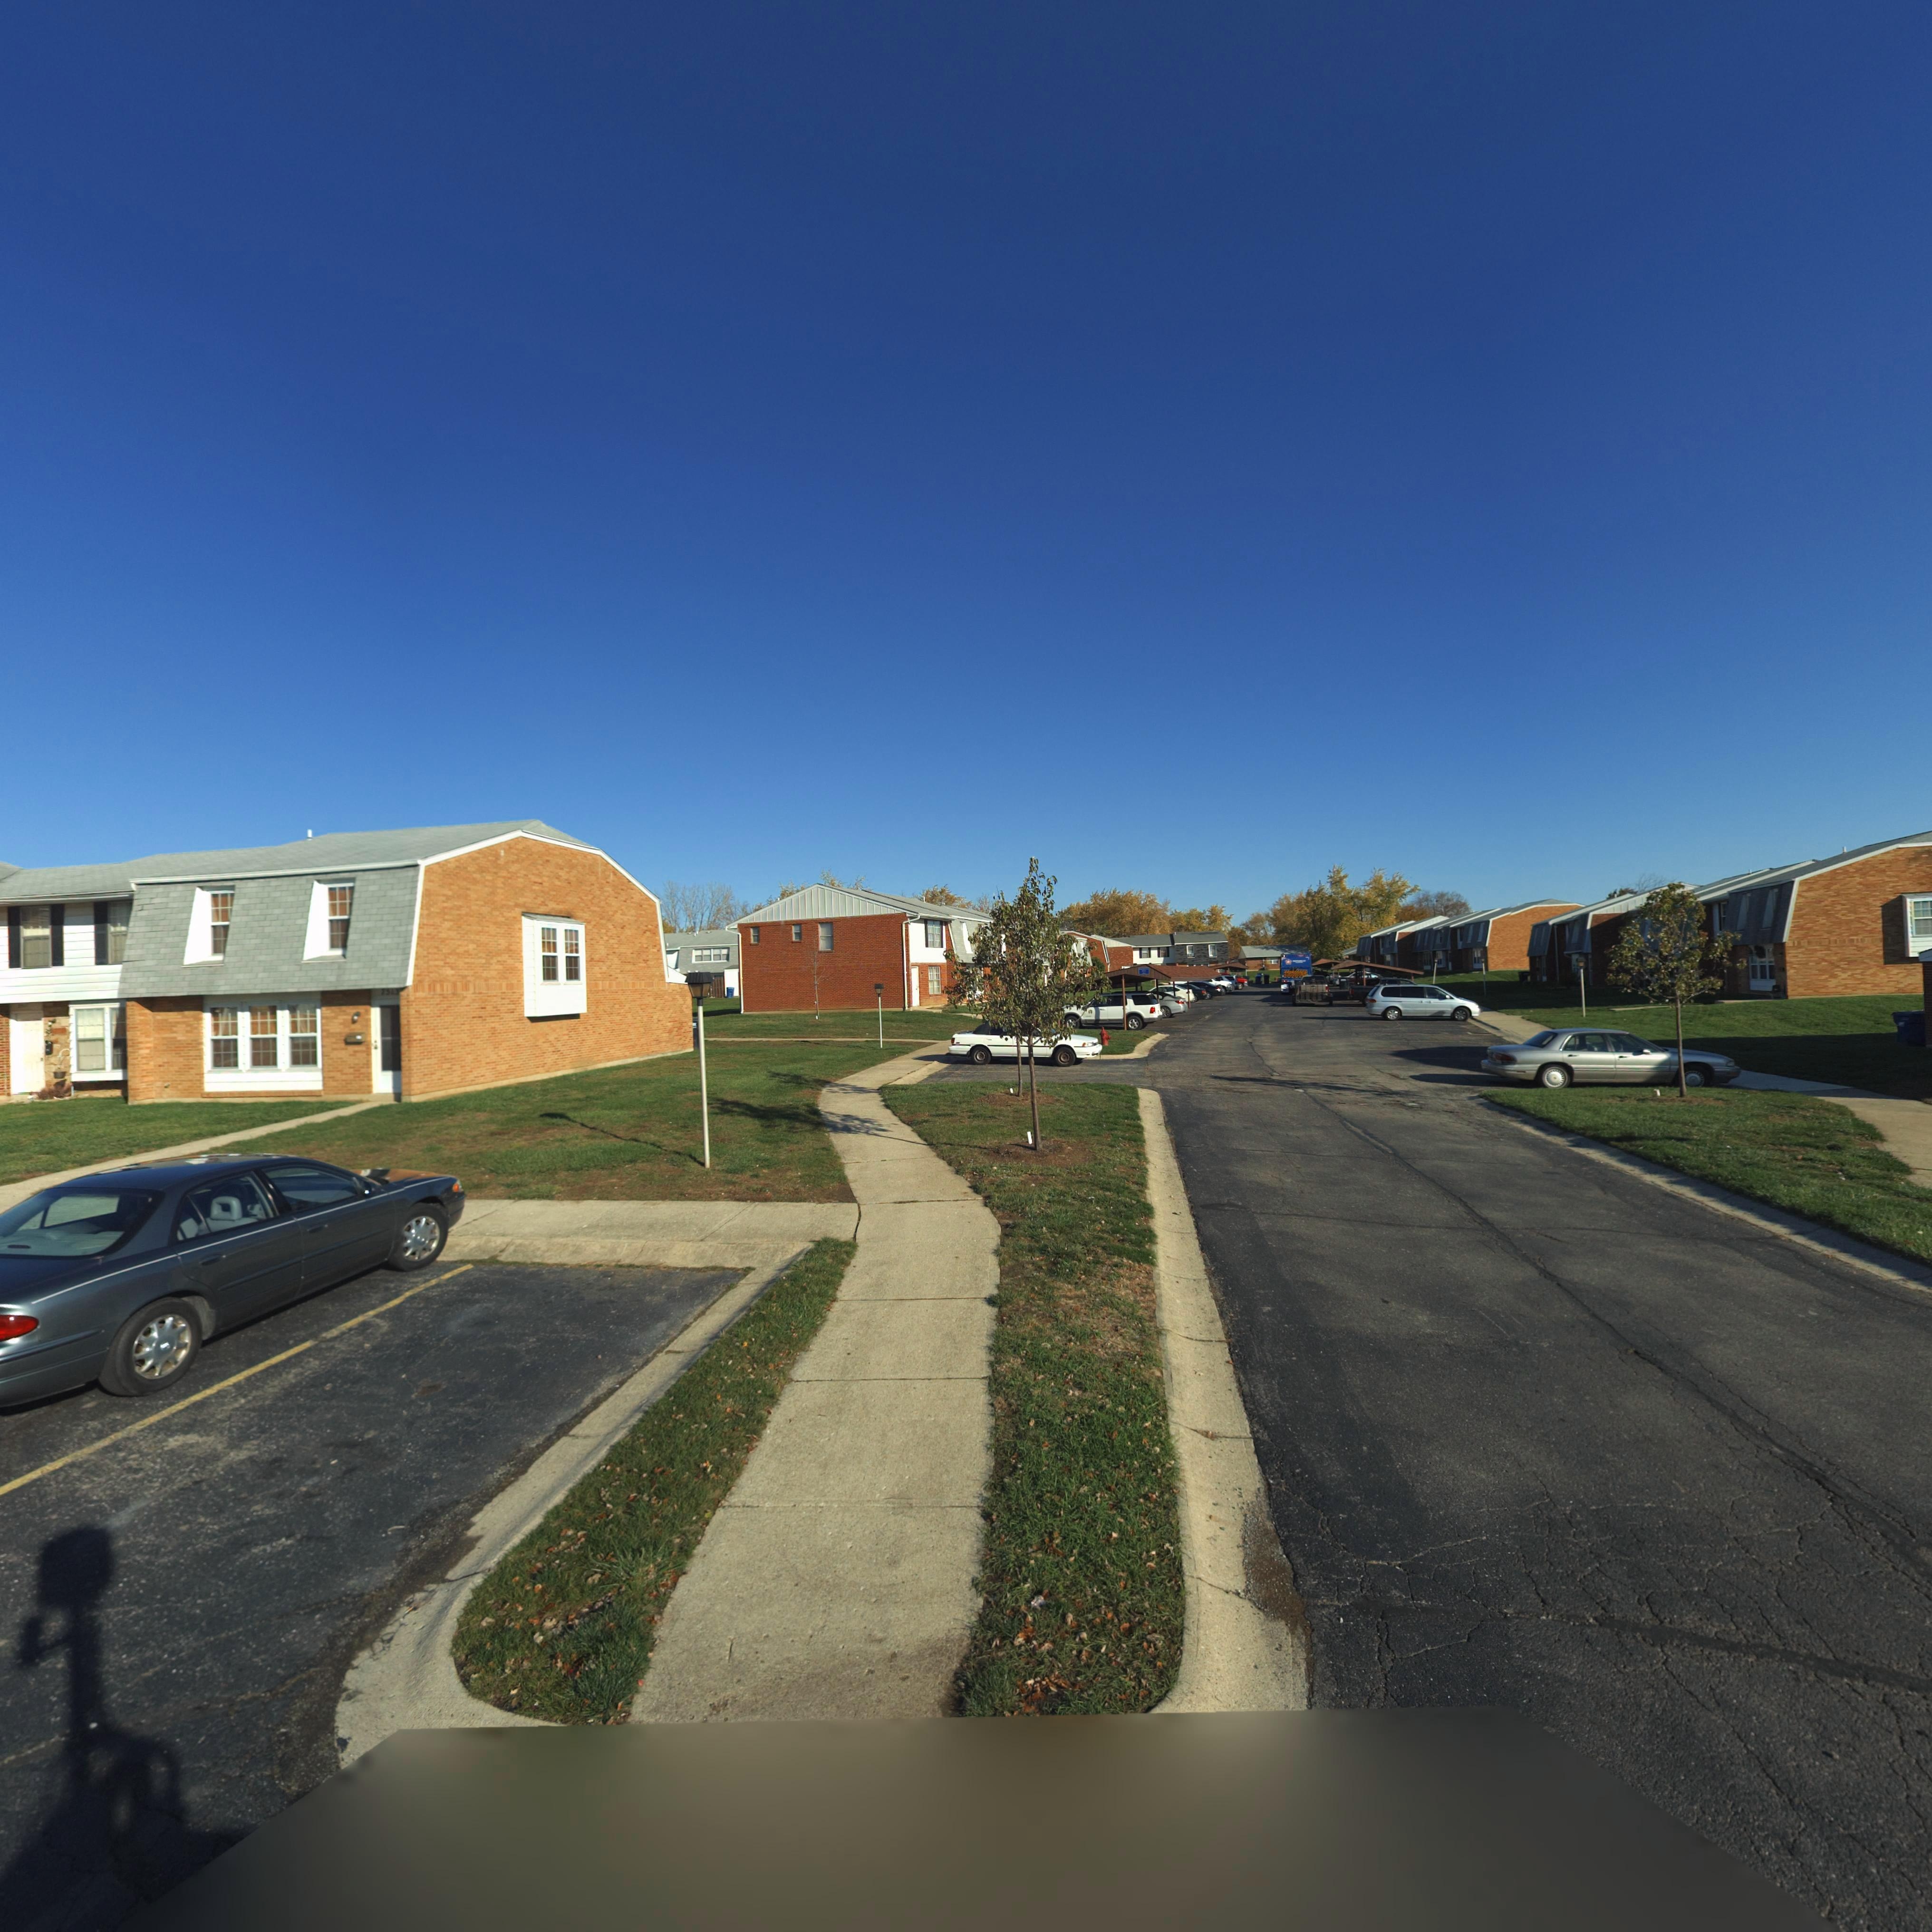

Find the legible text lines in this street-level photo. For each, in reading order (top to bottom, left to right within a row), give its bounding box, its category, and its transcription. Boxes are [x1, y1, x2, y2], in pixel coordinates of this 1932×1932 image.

[380, 987, 400, 995] StreetNumber: 7513
[18, 1003, 23, 1008] StreetNumber: 75